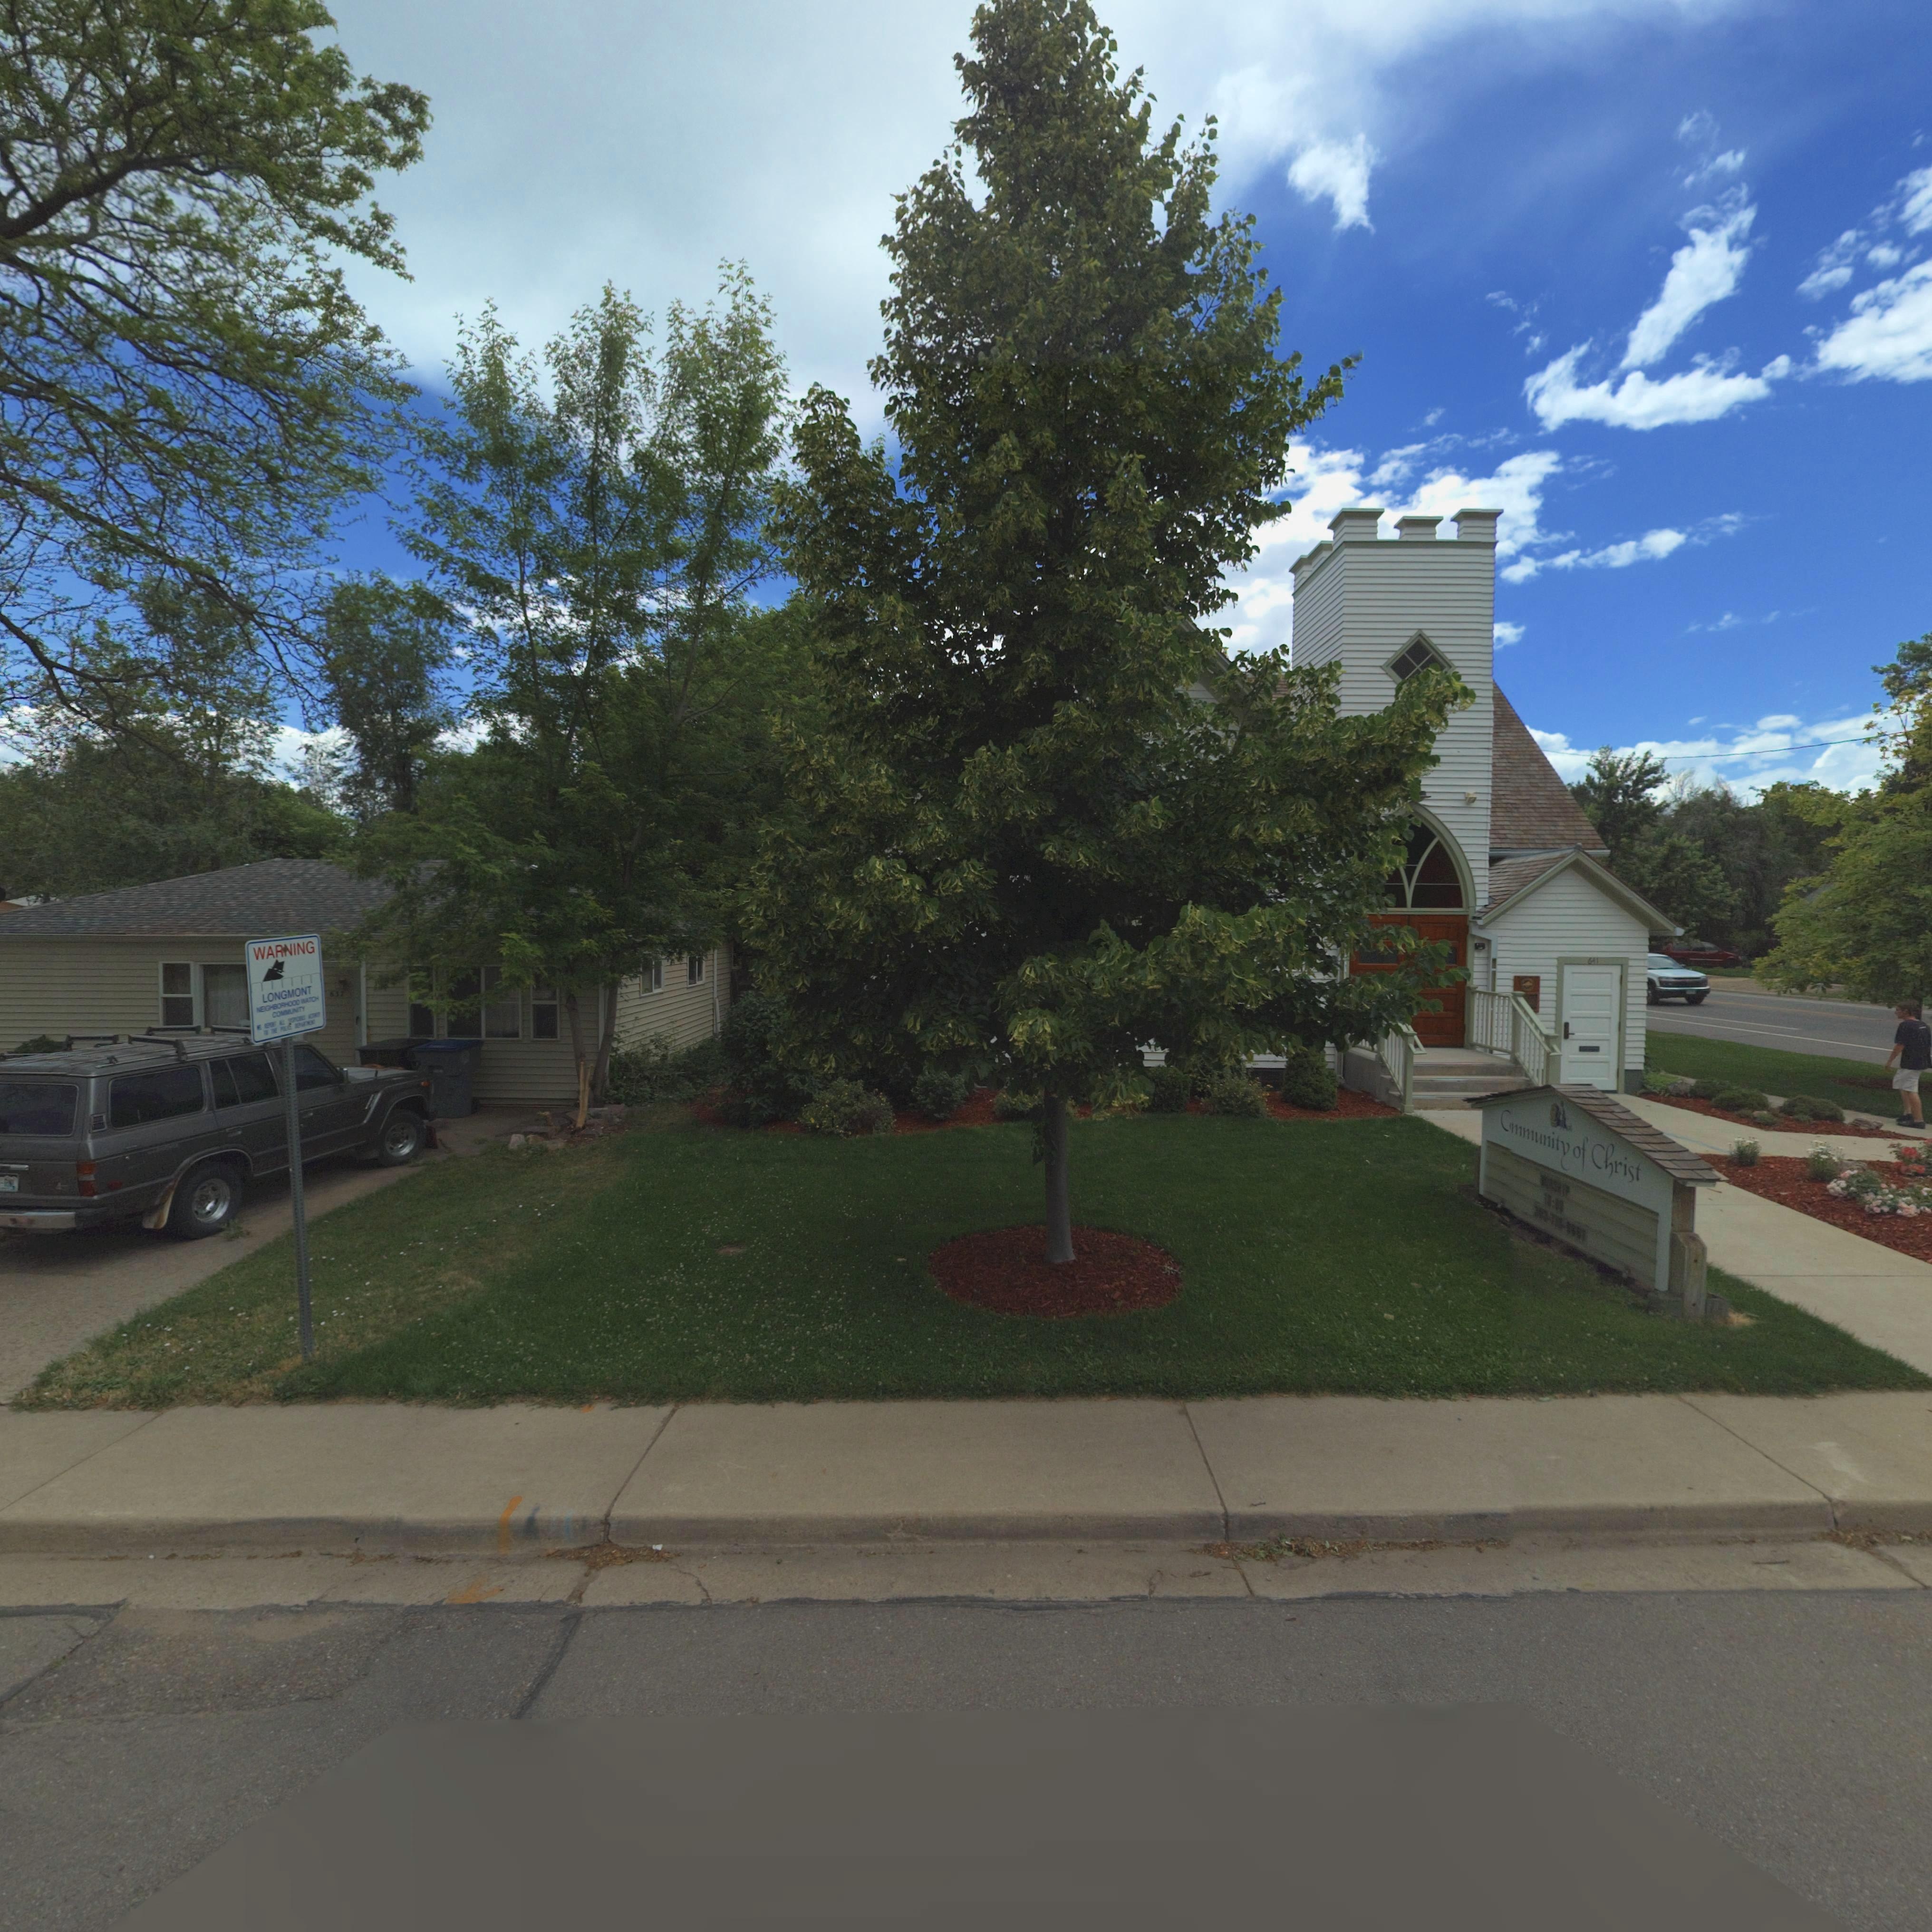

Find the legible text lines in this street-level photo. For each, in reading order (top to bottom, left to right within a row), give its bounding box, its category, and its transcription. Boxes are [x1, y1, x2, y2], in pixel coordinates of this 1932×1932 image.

[1586, 956, 1598, 965] StreetNumber: 641
[1500, 1108, 1643, 1183] BusinessName: Community of Christ